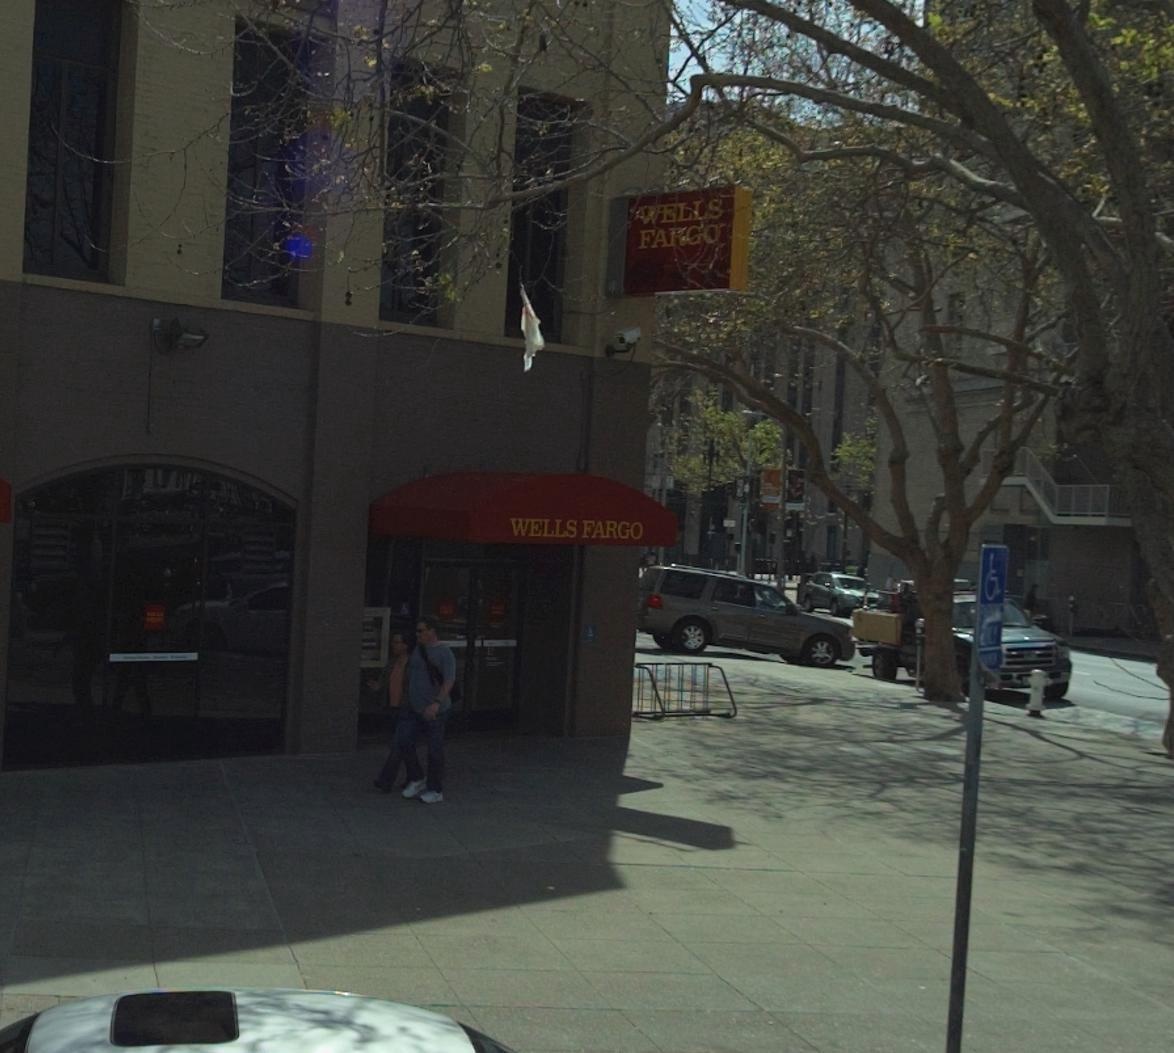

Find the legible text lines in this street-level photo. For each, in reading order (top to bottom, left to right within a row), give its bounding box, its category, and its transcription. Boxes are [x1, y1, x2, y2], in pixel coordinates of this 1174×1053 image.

[632, 193, 726, 228] BusinessName: WELLS
[636, 220, 723, 251] BusinessName: FARGO
[508, 515, 645, 541] BusinessName: WELLS FARGO